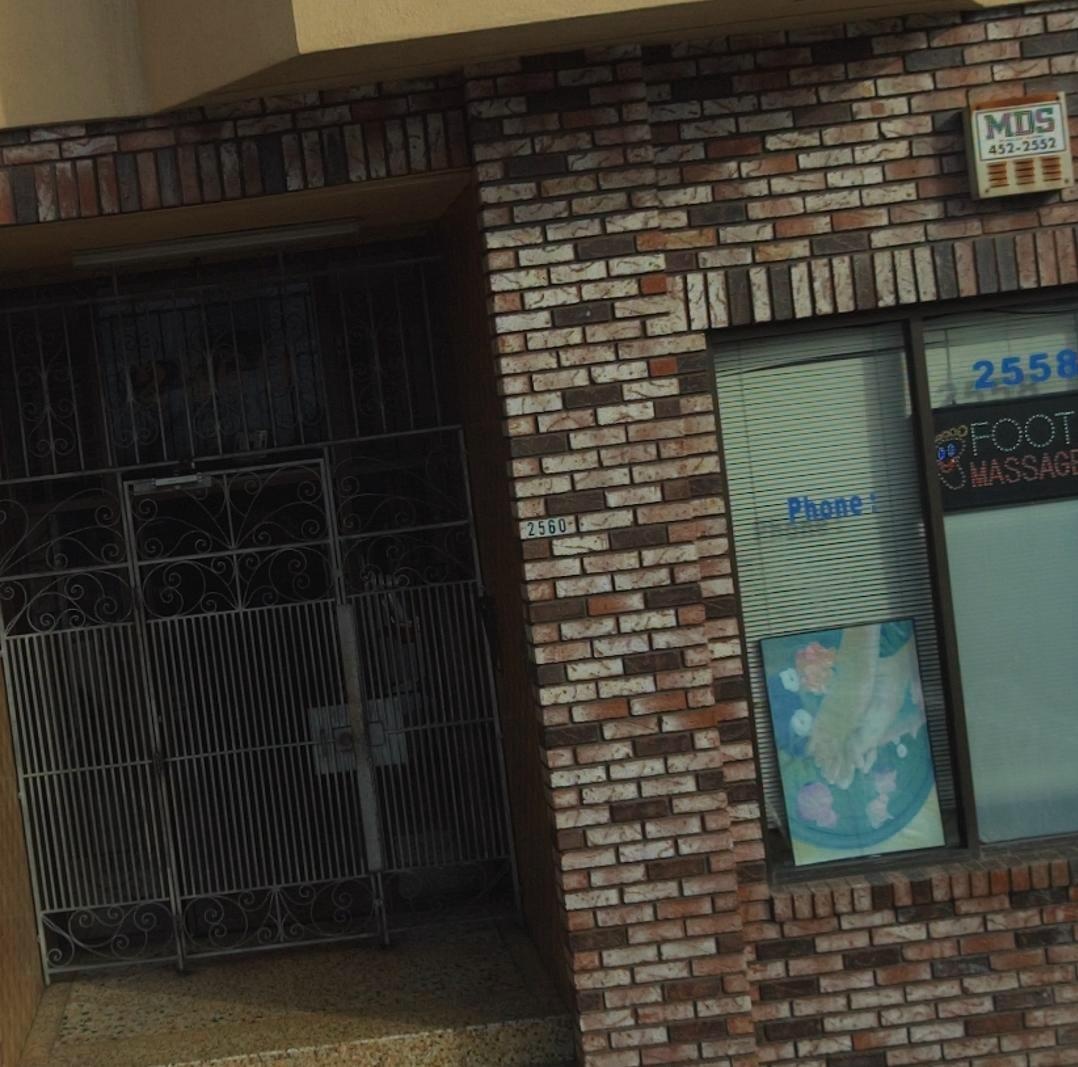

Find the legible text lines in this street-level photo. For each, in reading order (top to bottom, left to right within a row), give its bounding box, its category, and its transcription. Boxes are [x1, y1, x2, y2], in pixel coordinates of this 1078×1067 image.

[980, 103, 1058, 144] None: MDS
[985, 133, 1060, 158] None: 452-2552
[969, 346, 1078, 392] StreetNumber: 2558
[967, 408, 1077, 461] None: FOOT
[966, 448, 1073, 491] None: MASSAG
[525, 516, 569, 539] StreetNumber: 2560
[782, 491, 868, 530] None: Phone